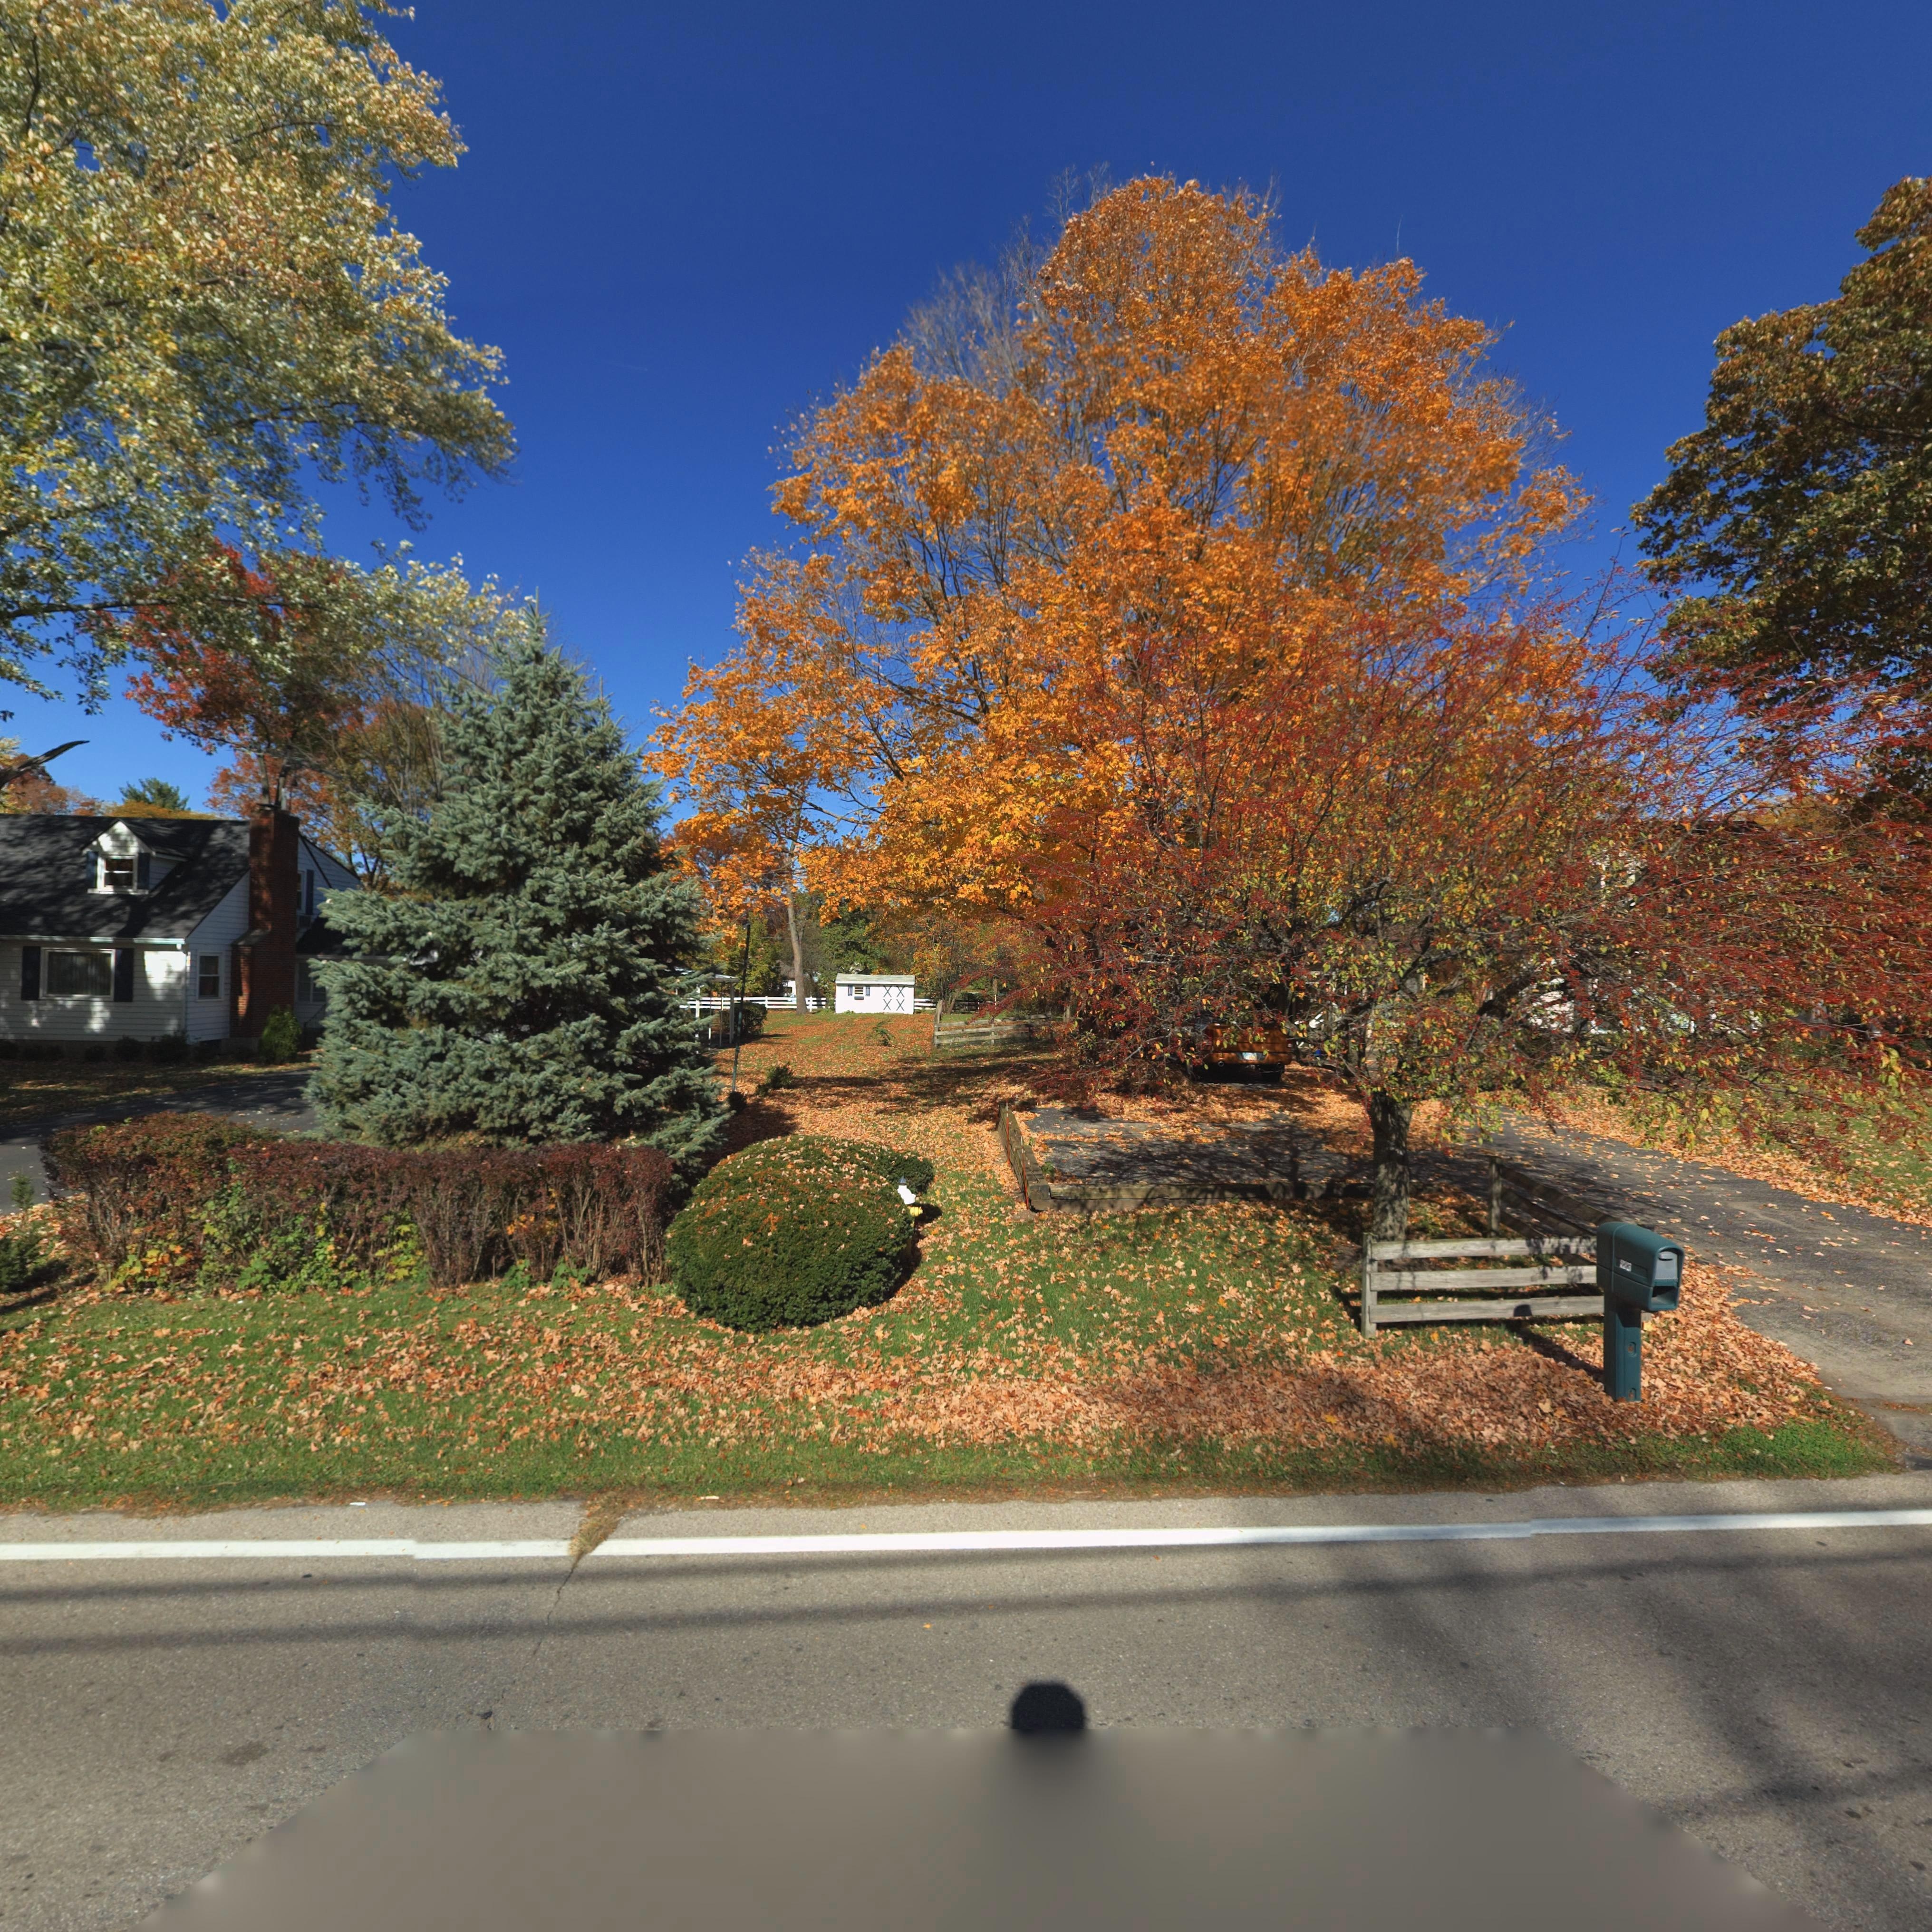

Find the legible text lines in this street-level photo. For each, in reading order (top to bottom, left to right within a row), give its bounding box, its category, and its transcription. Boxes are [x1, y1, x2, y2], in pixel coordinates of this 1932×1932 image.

[1619, 1258, 1633, 1274] StreetNumber: *23